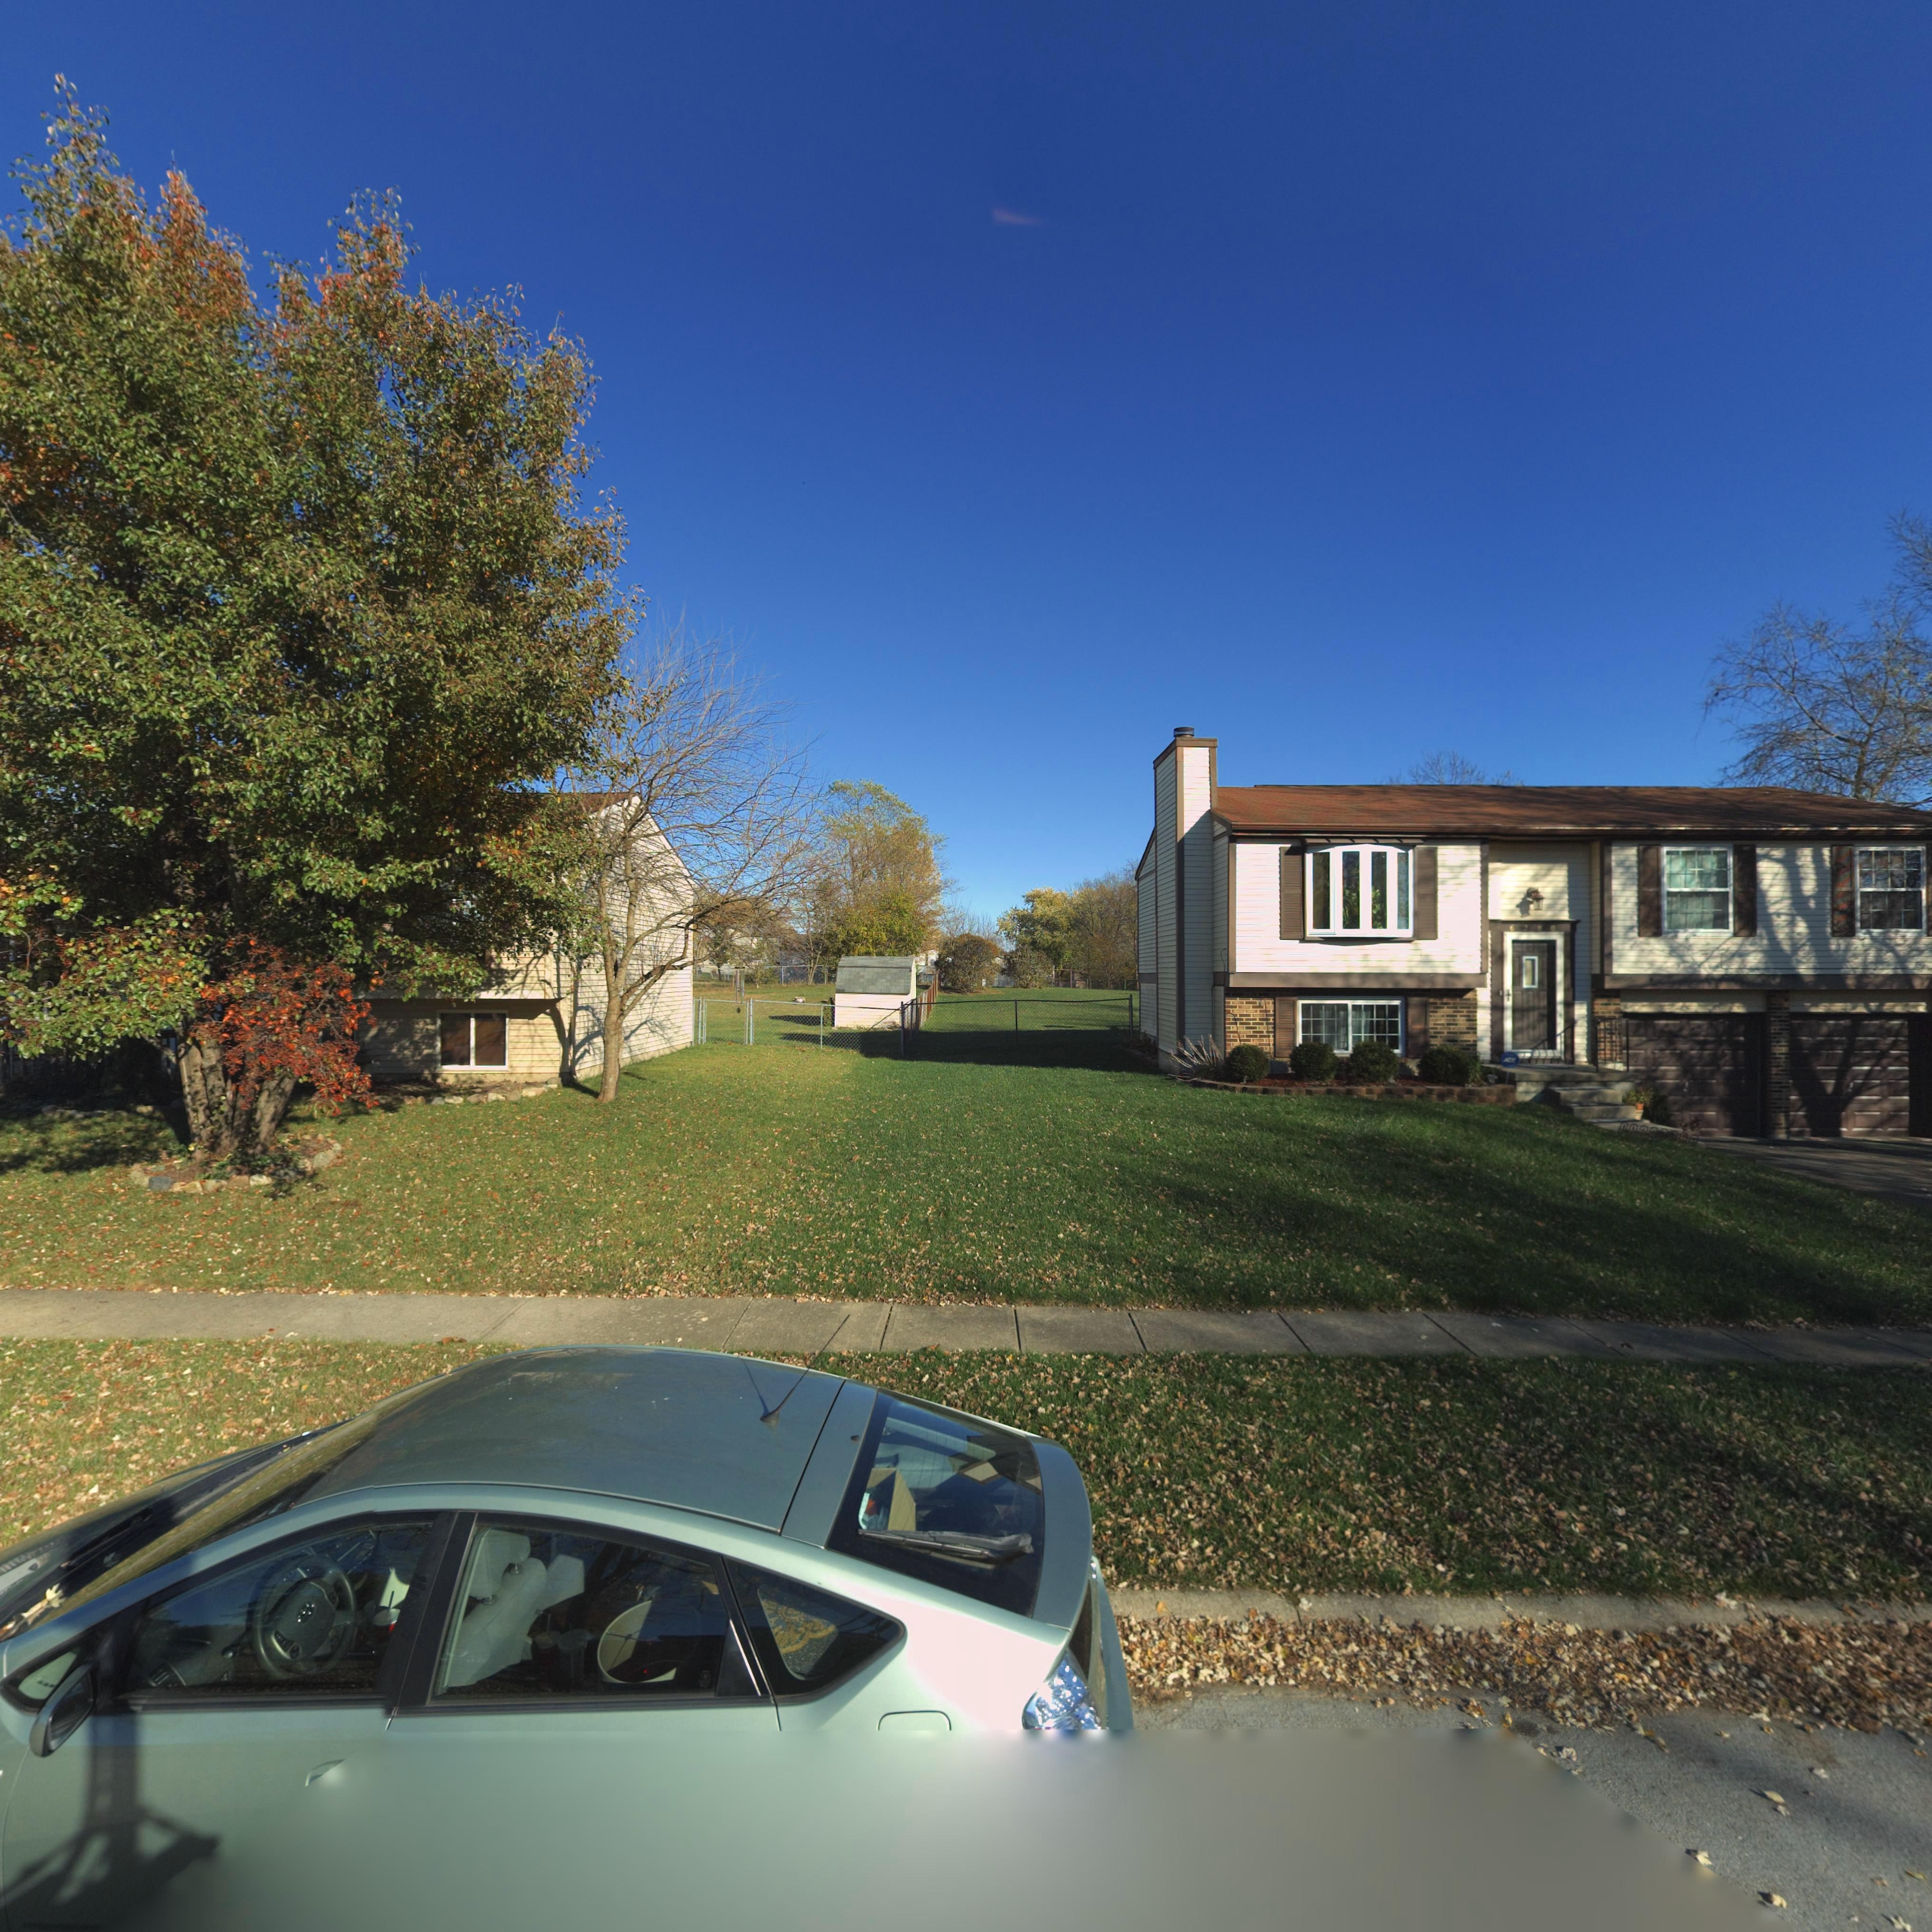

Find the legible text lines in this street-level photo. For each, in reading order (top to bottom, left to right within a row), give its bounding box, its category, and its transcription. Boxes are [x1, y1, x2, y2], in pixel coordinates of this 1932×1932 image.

[1508, 924, 1556, 932] StreetNumber: 6280